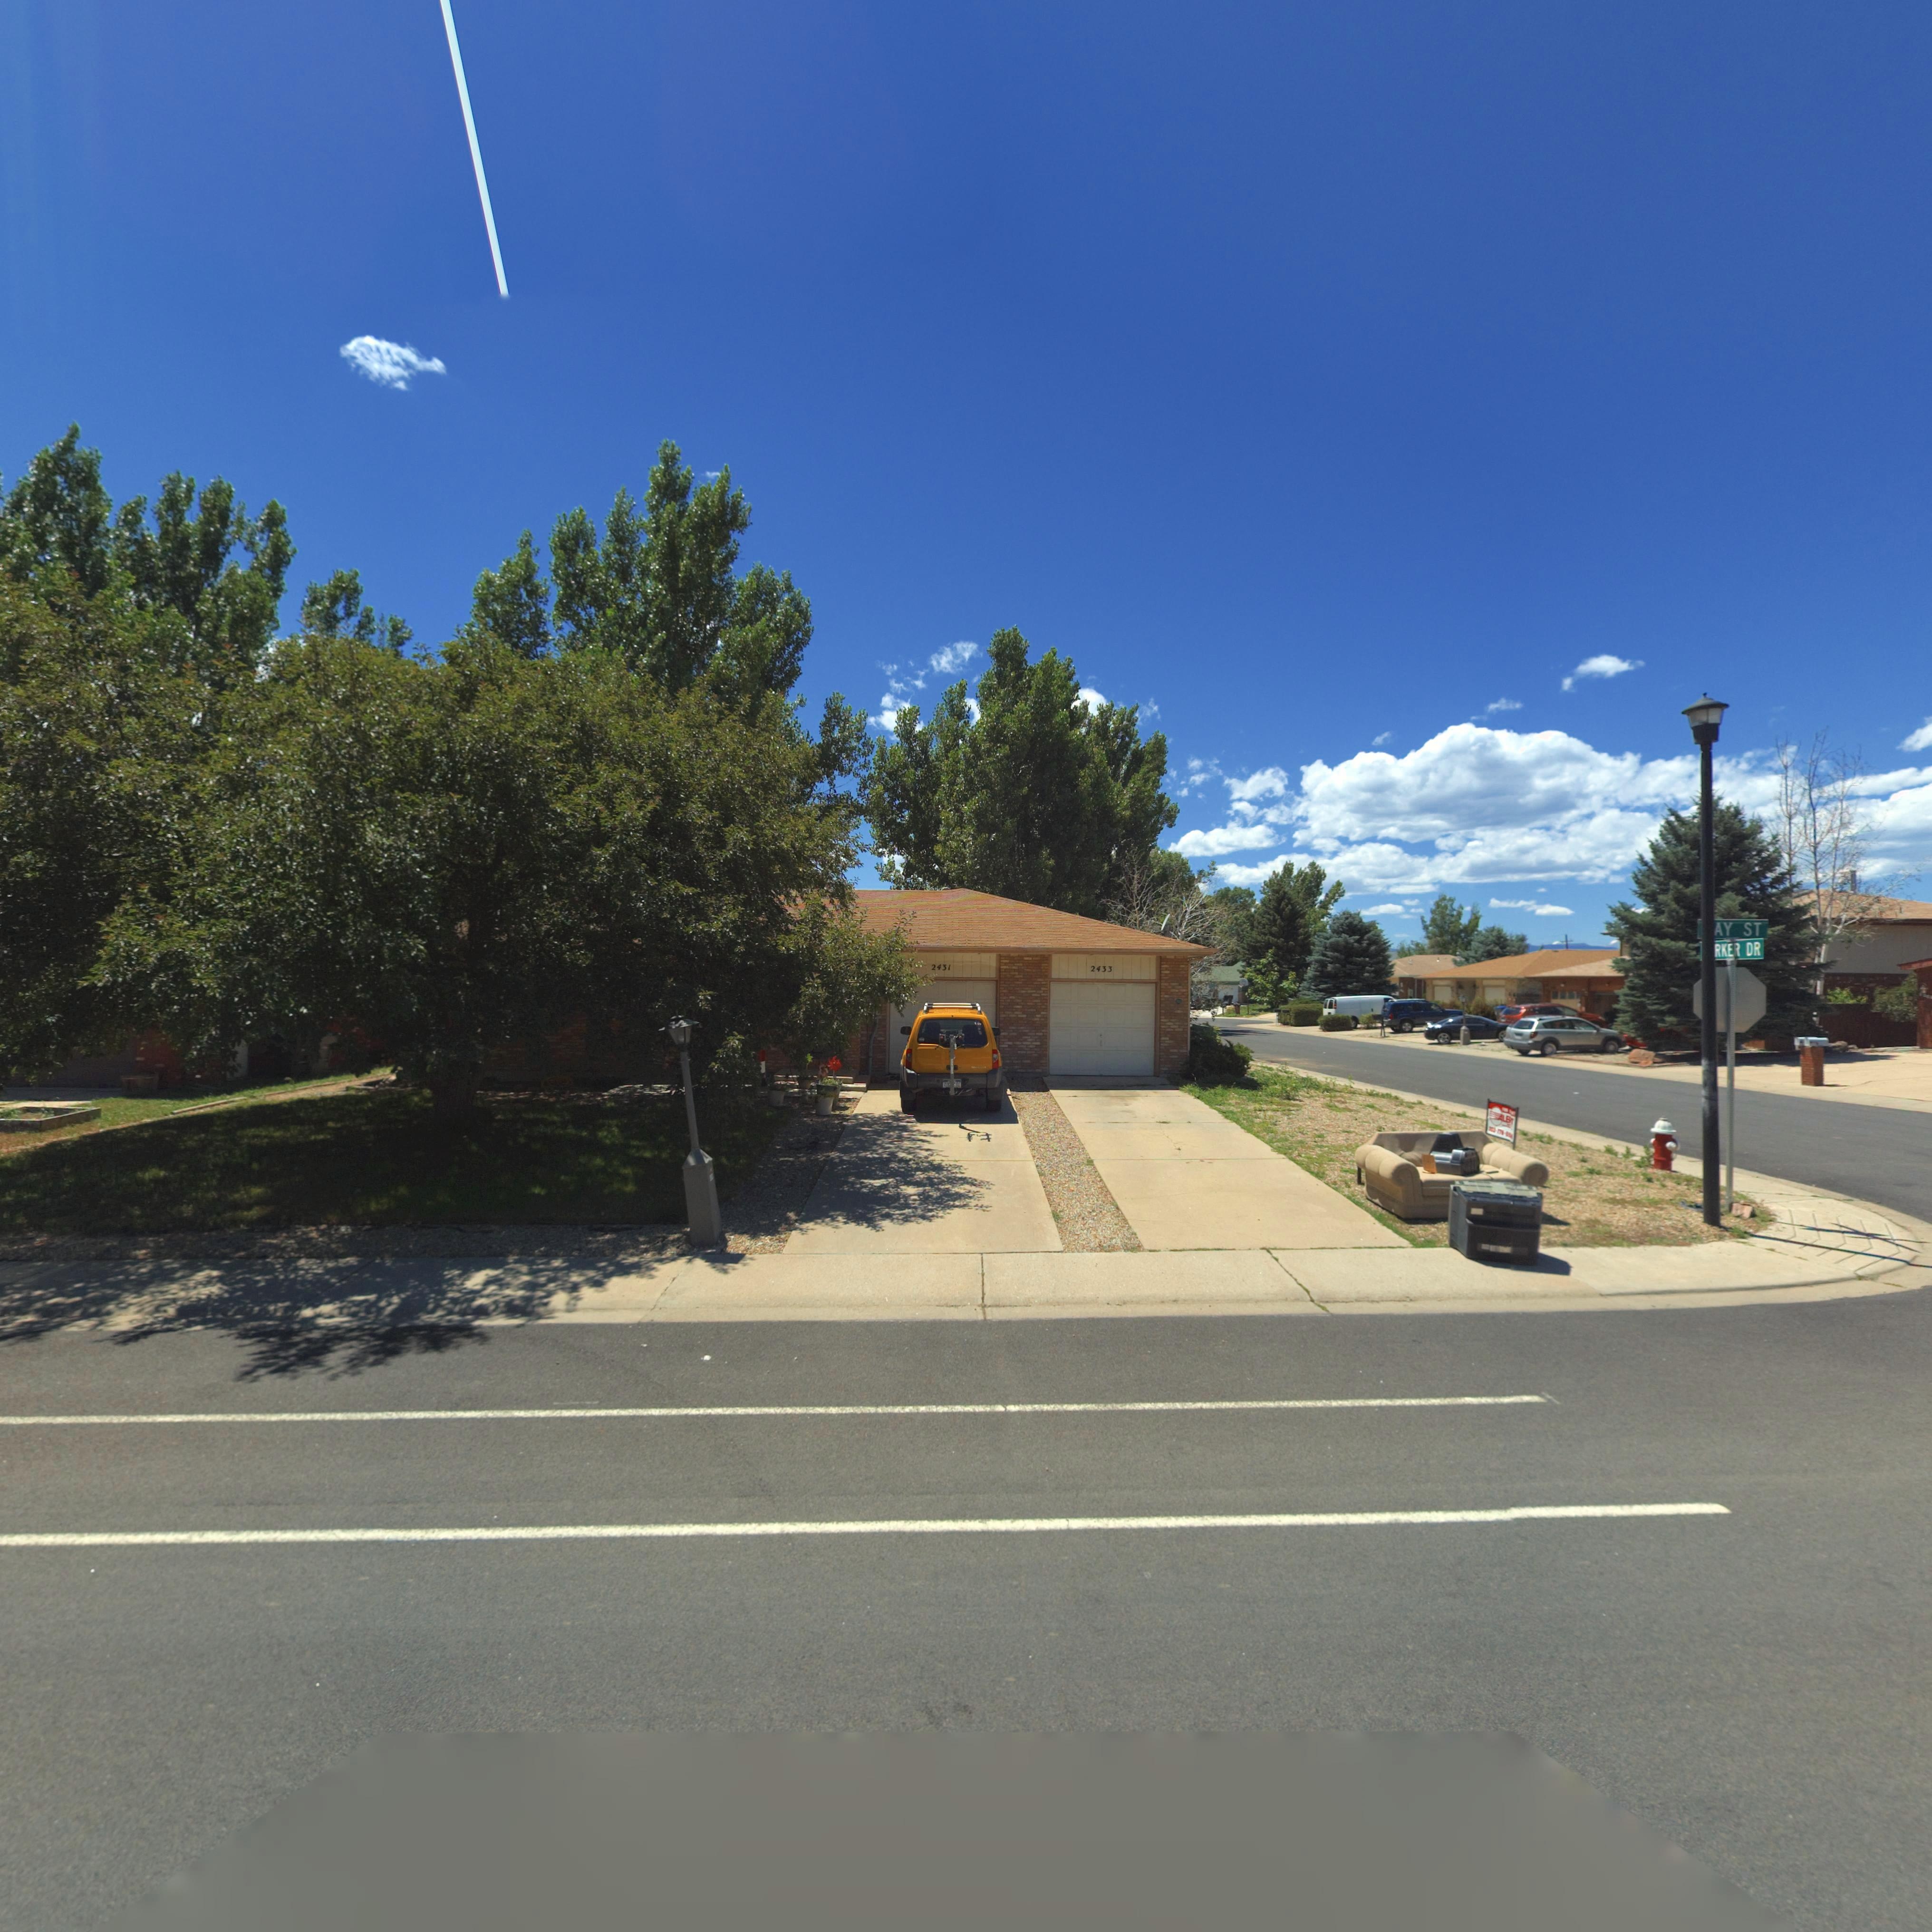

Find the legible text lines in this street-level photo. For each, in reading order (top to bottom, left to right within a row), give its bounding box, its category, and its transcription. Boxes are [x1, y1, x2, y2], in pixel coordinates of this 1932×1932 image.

[1714, 921, 1761, 937] StreetName: AY ST
[1714, 941, 1760, 957] StreetName: RKER DR
[930, 964, 951, 970] StreetNumber: 2431
[1091, 965, 1112, 972] StreetNumber: 2433